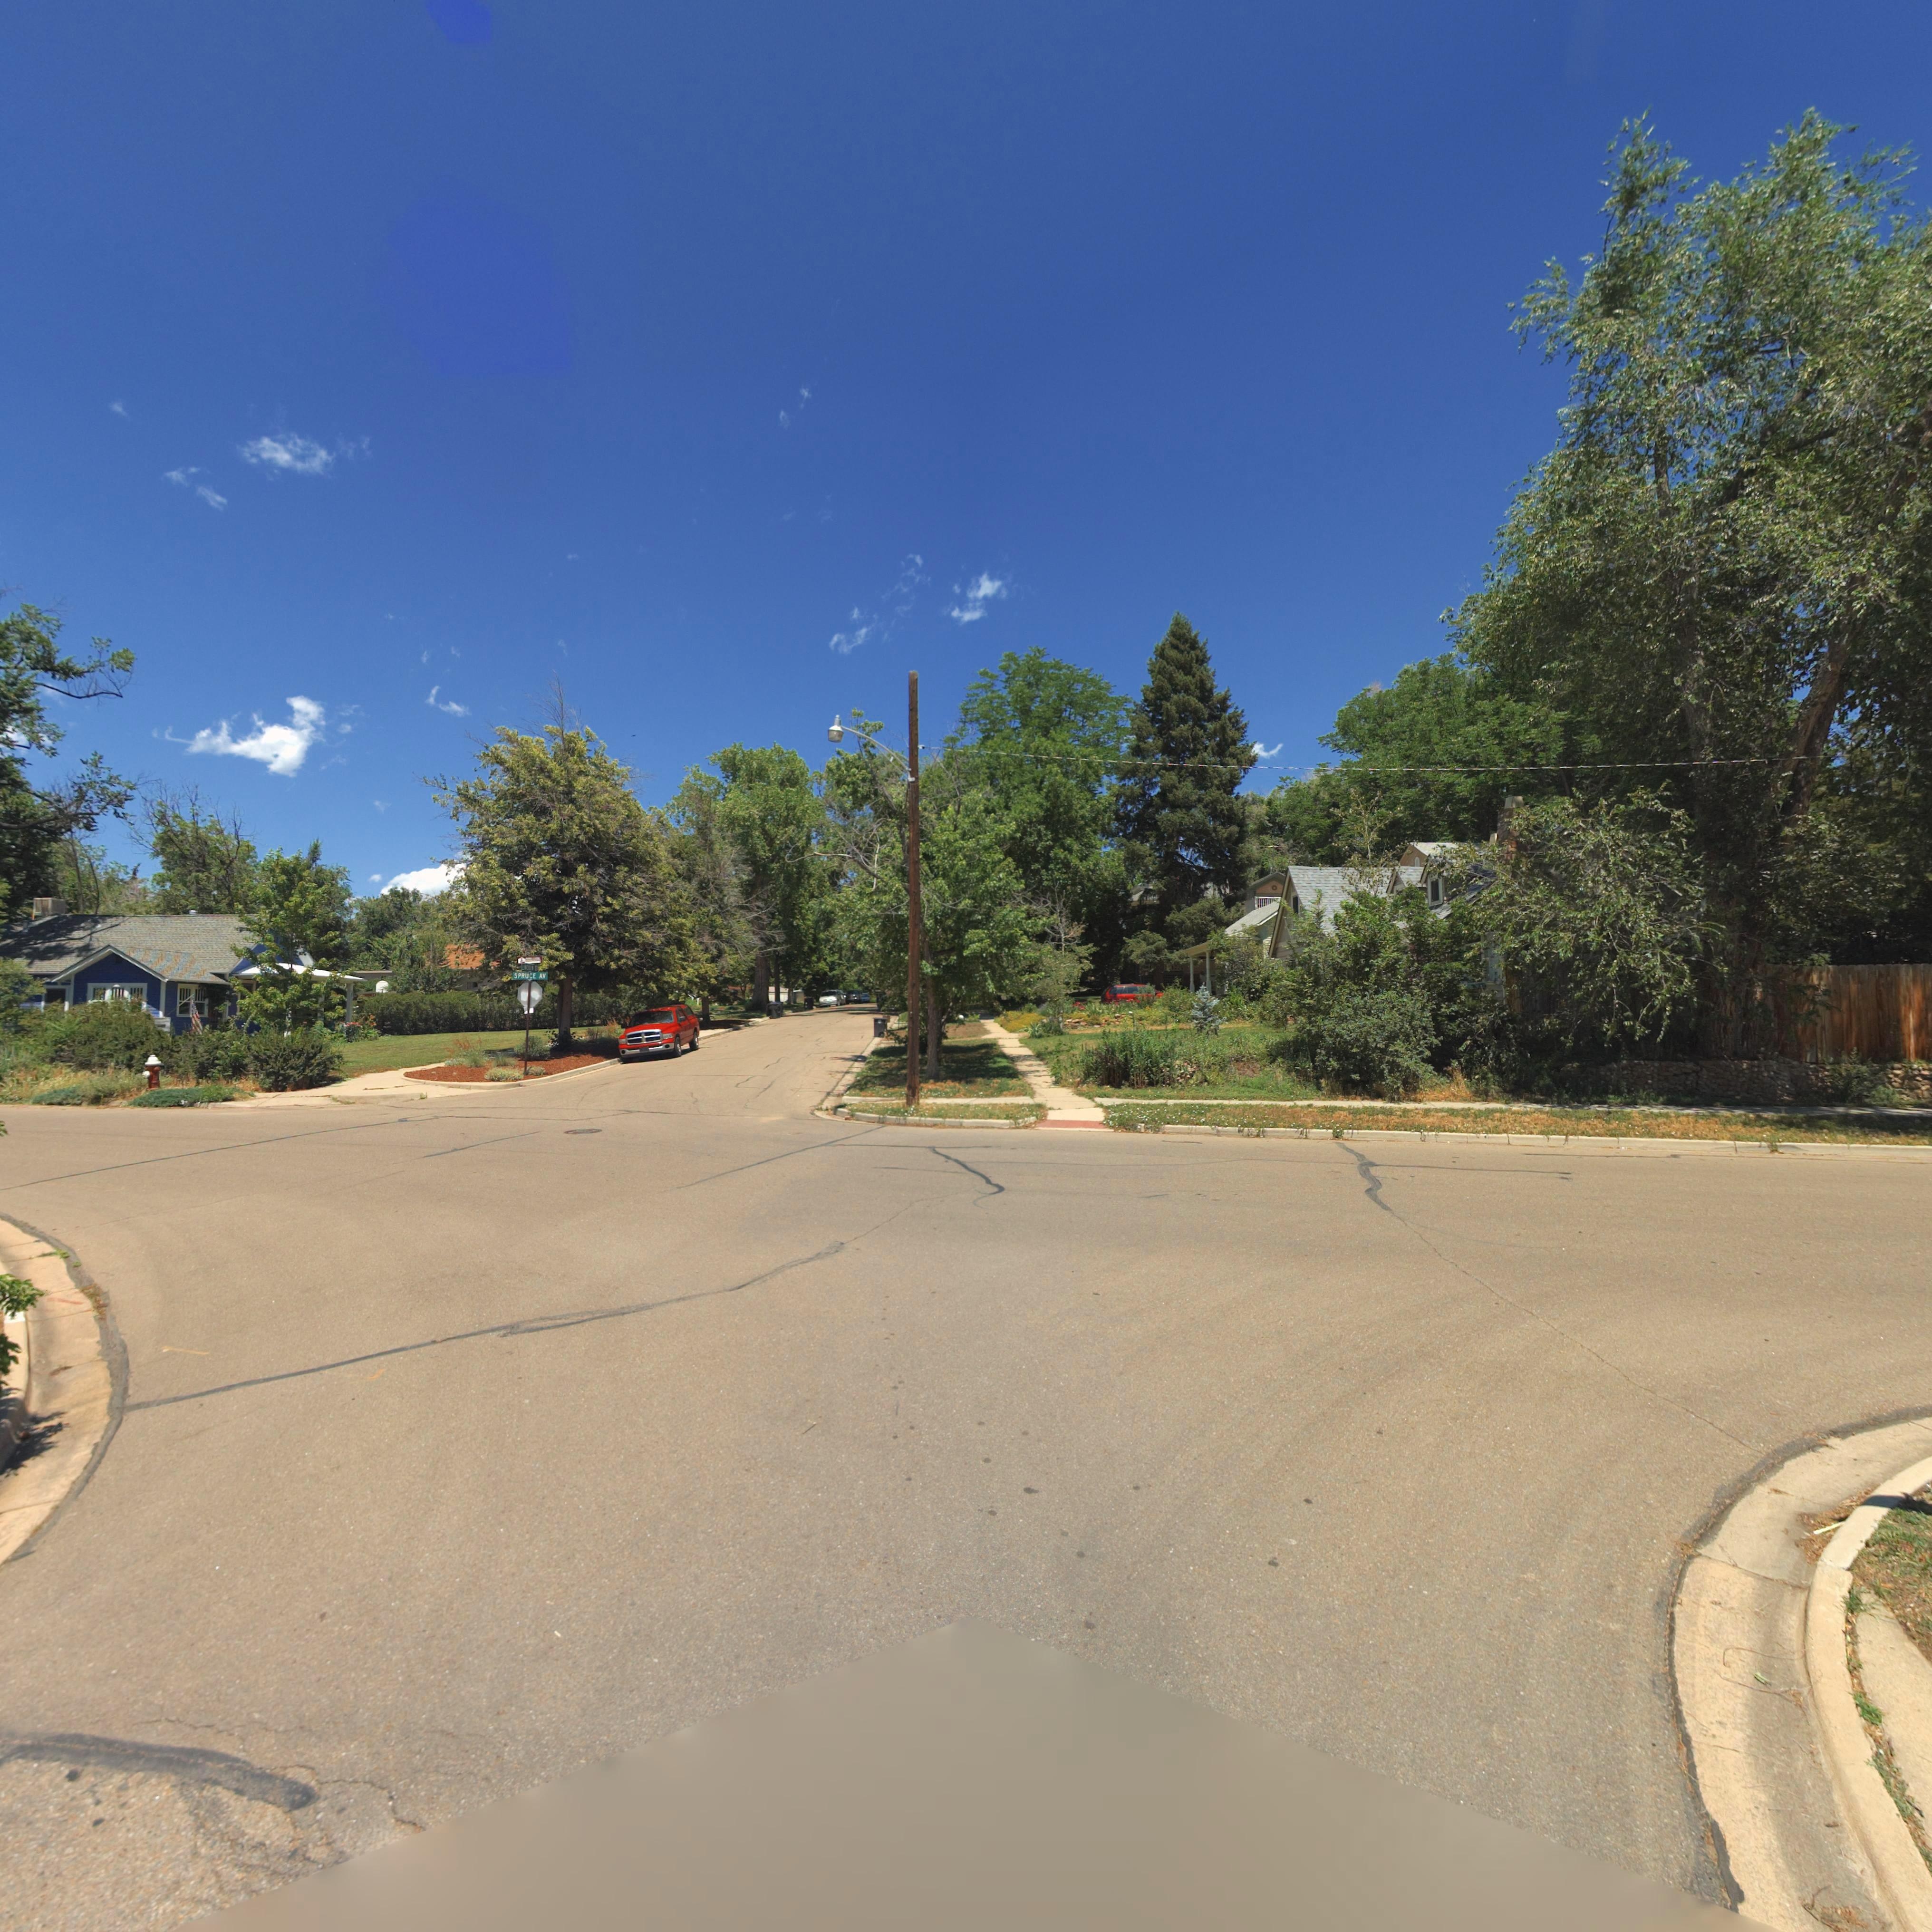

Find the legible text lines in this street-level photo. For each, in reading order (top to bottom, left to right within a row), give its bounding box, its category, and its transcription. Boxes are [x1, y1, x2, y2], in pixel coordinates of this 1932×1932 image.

[522, 965, 538, 971] StreetName: LINCOLN ST
[514, 973, 546, 978] StreetName: SPRUCE AV